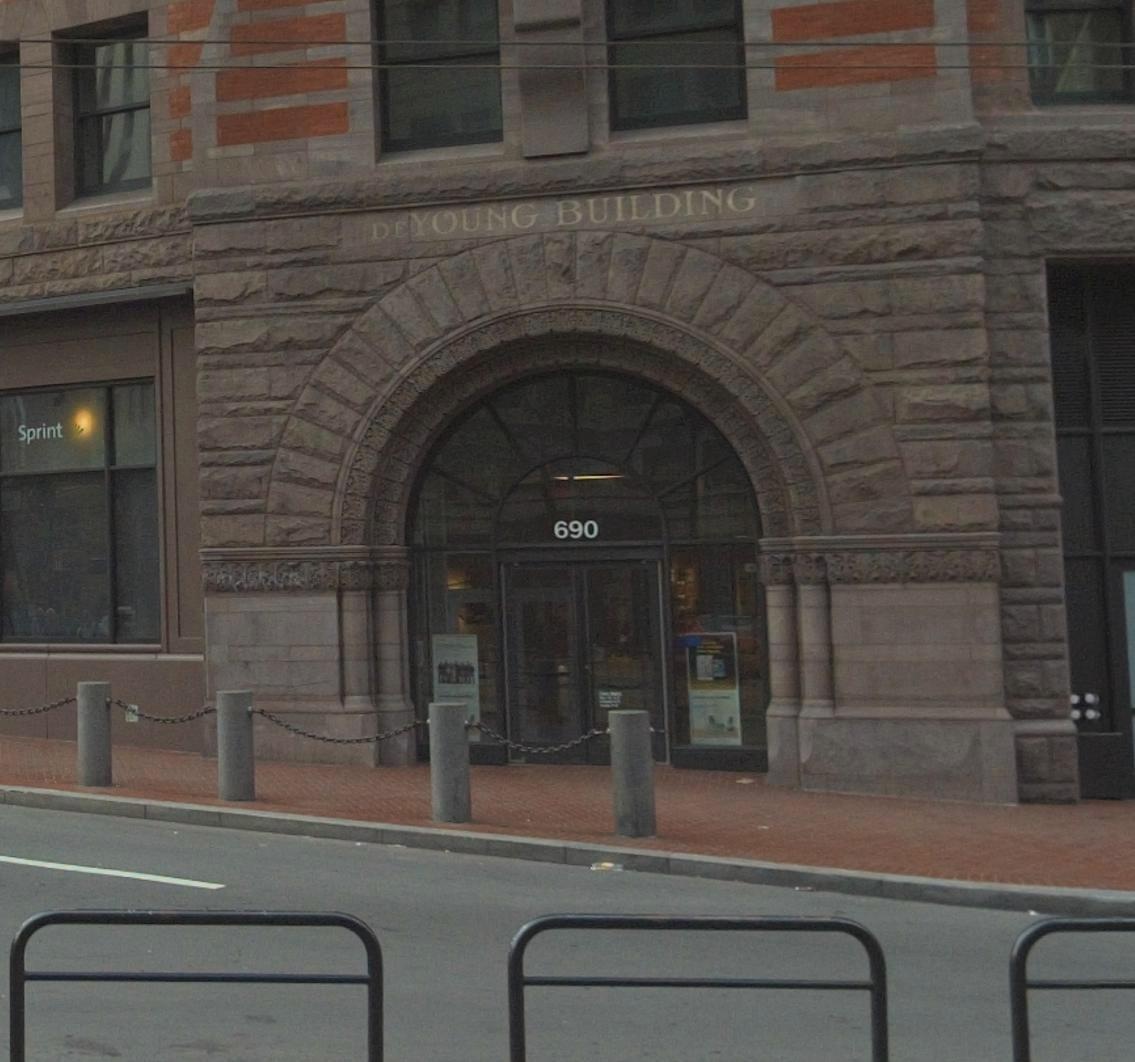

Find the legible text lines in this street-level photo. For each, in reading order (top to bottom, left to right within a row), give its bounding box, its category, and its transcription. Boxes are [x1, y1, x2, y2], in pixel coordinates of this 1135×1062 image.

[371, 183, 760, 241] None: DE YOUNG BUILDING
[17, 421, 64, 445] BusinessName: Sprint
[552, 518, 600, 540] StreetNumber: 690